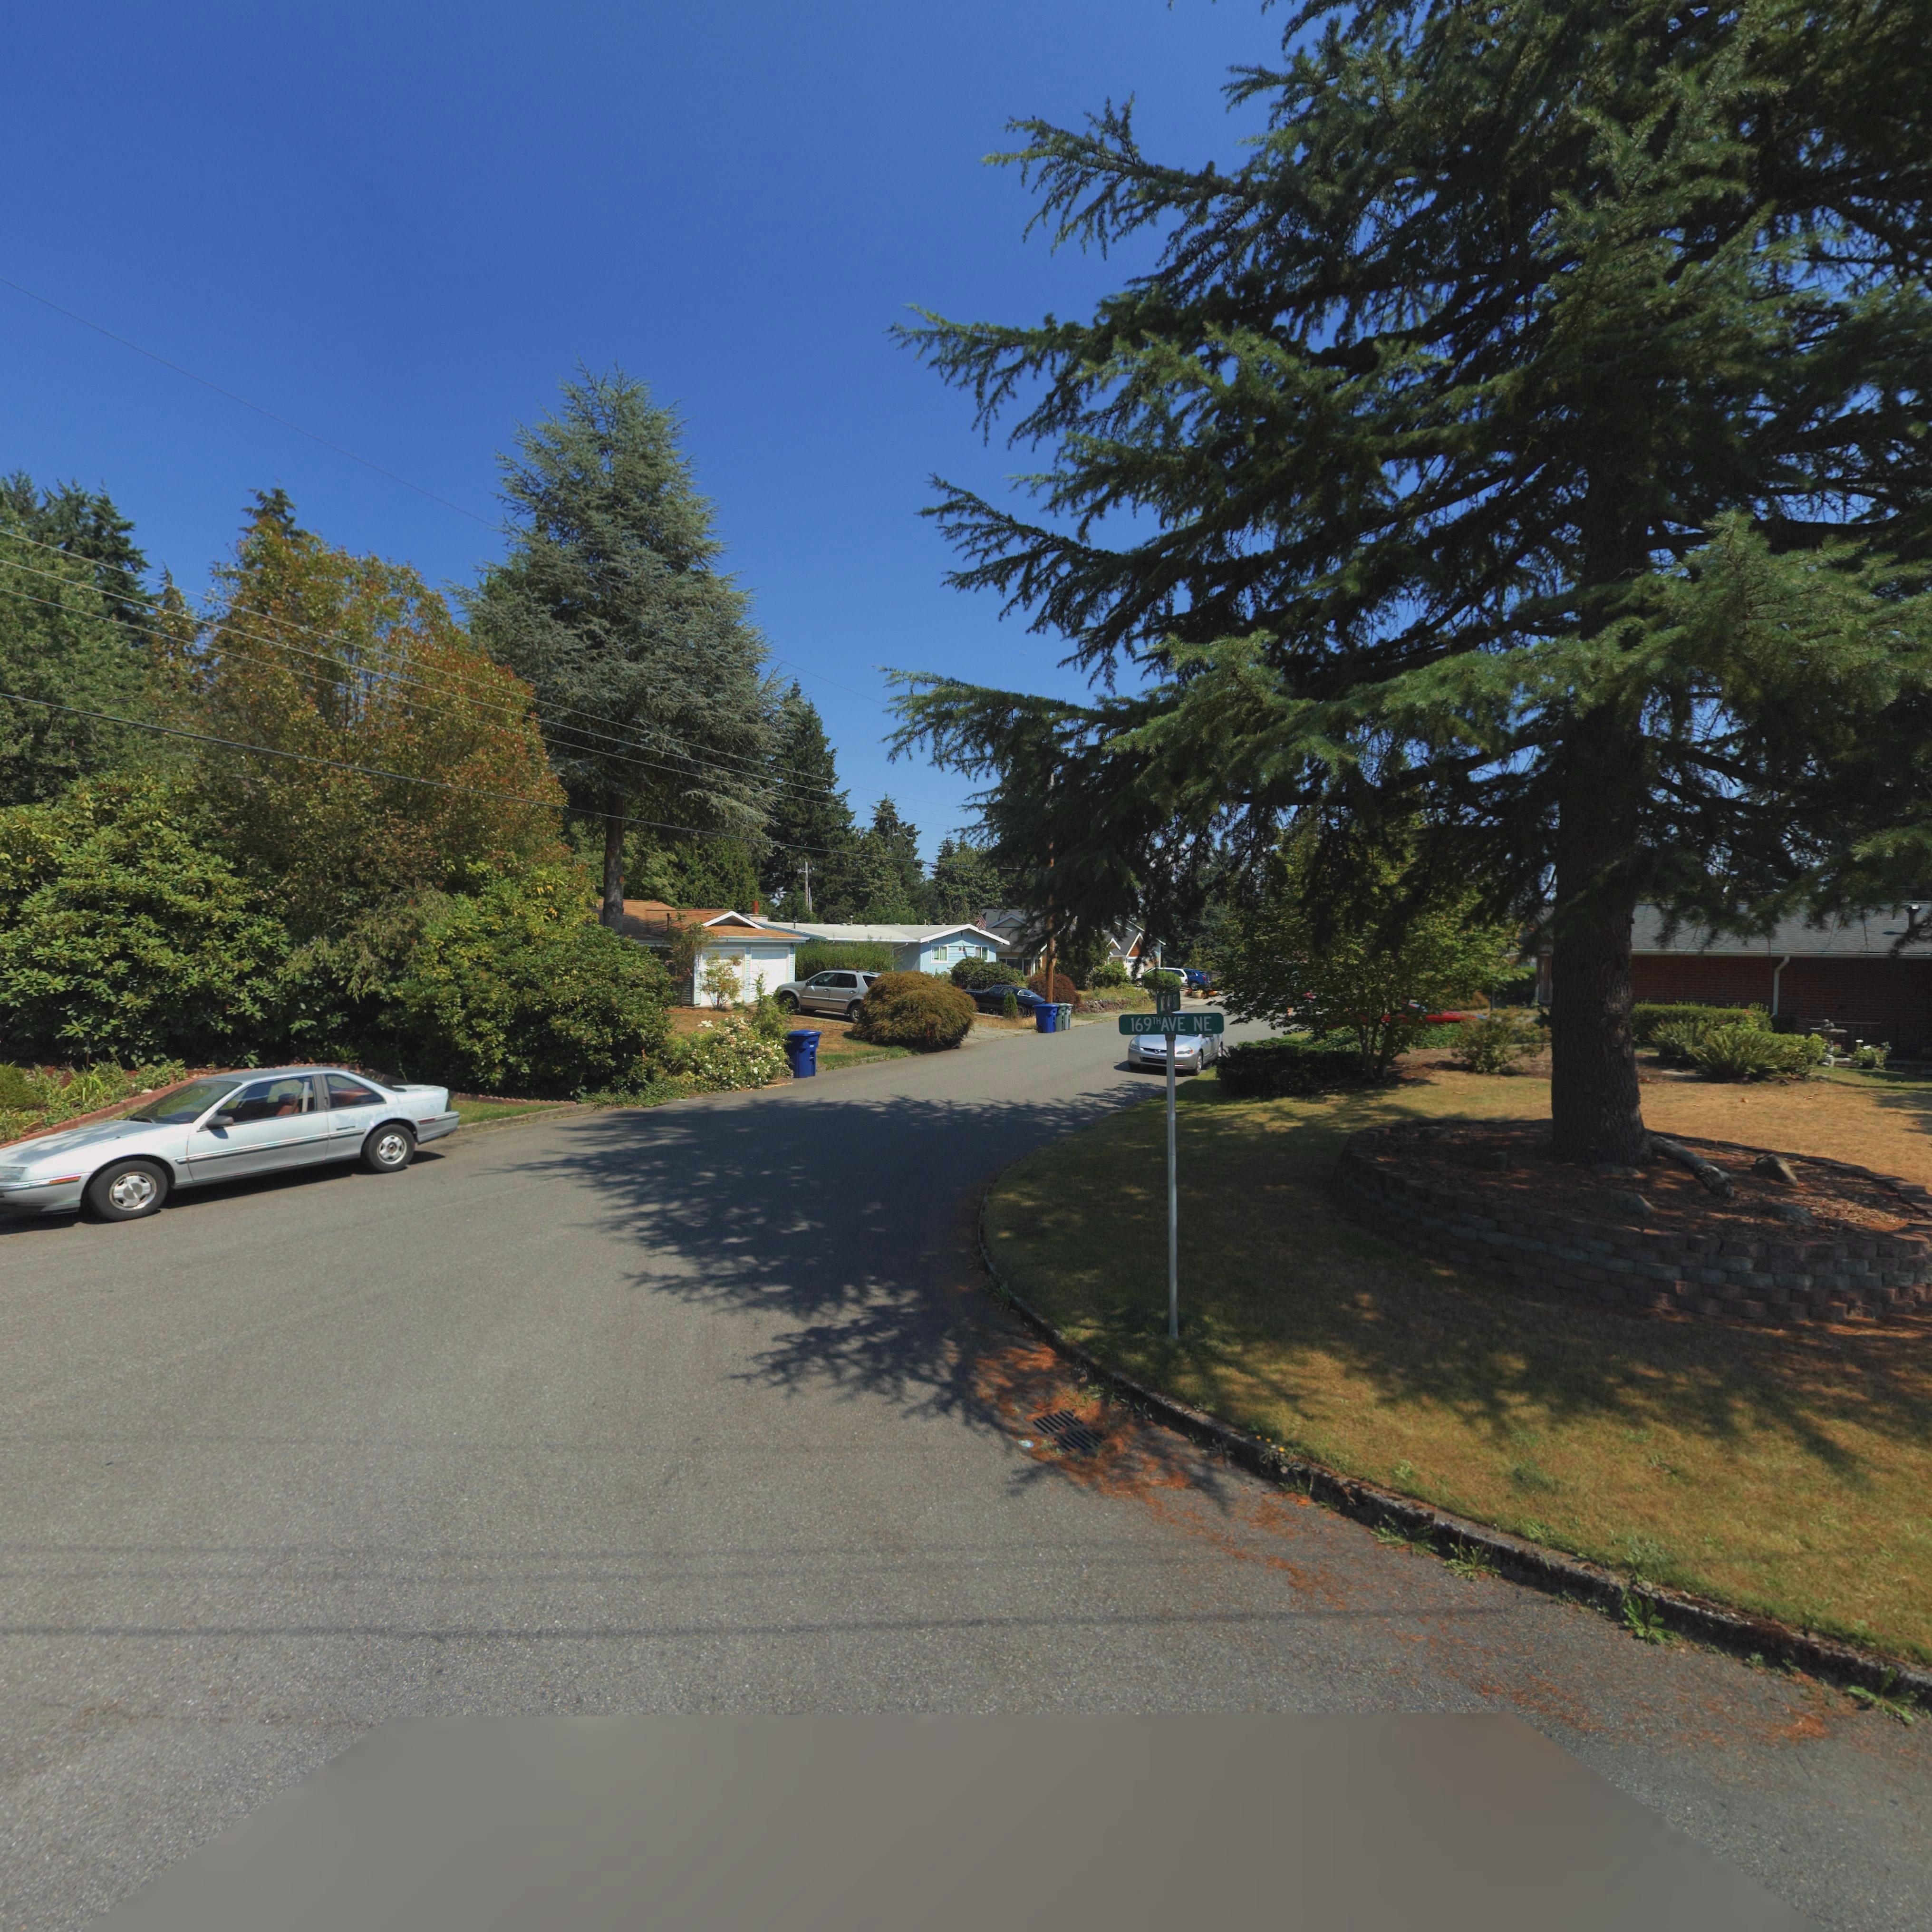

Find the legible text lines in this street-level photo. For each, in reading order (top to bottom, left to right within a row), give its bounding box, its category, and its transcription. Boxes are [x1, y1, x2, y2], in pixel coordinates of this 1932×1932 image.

[1128, 1014, 1214, 1032] StreetName: 169TH AVE NE